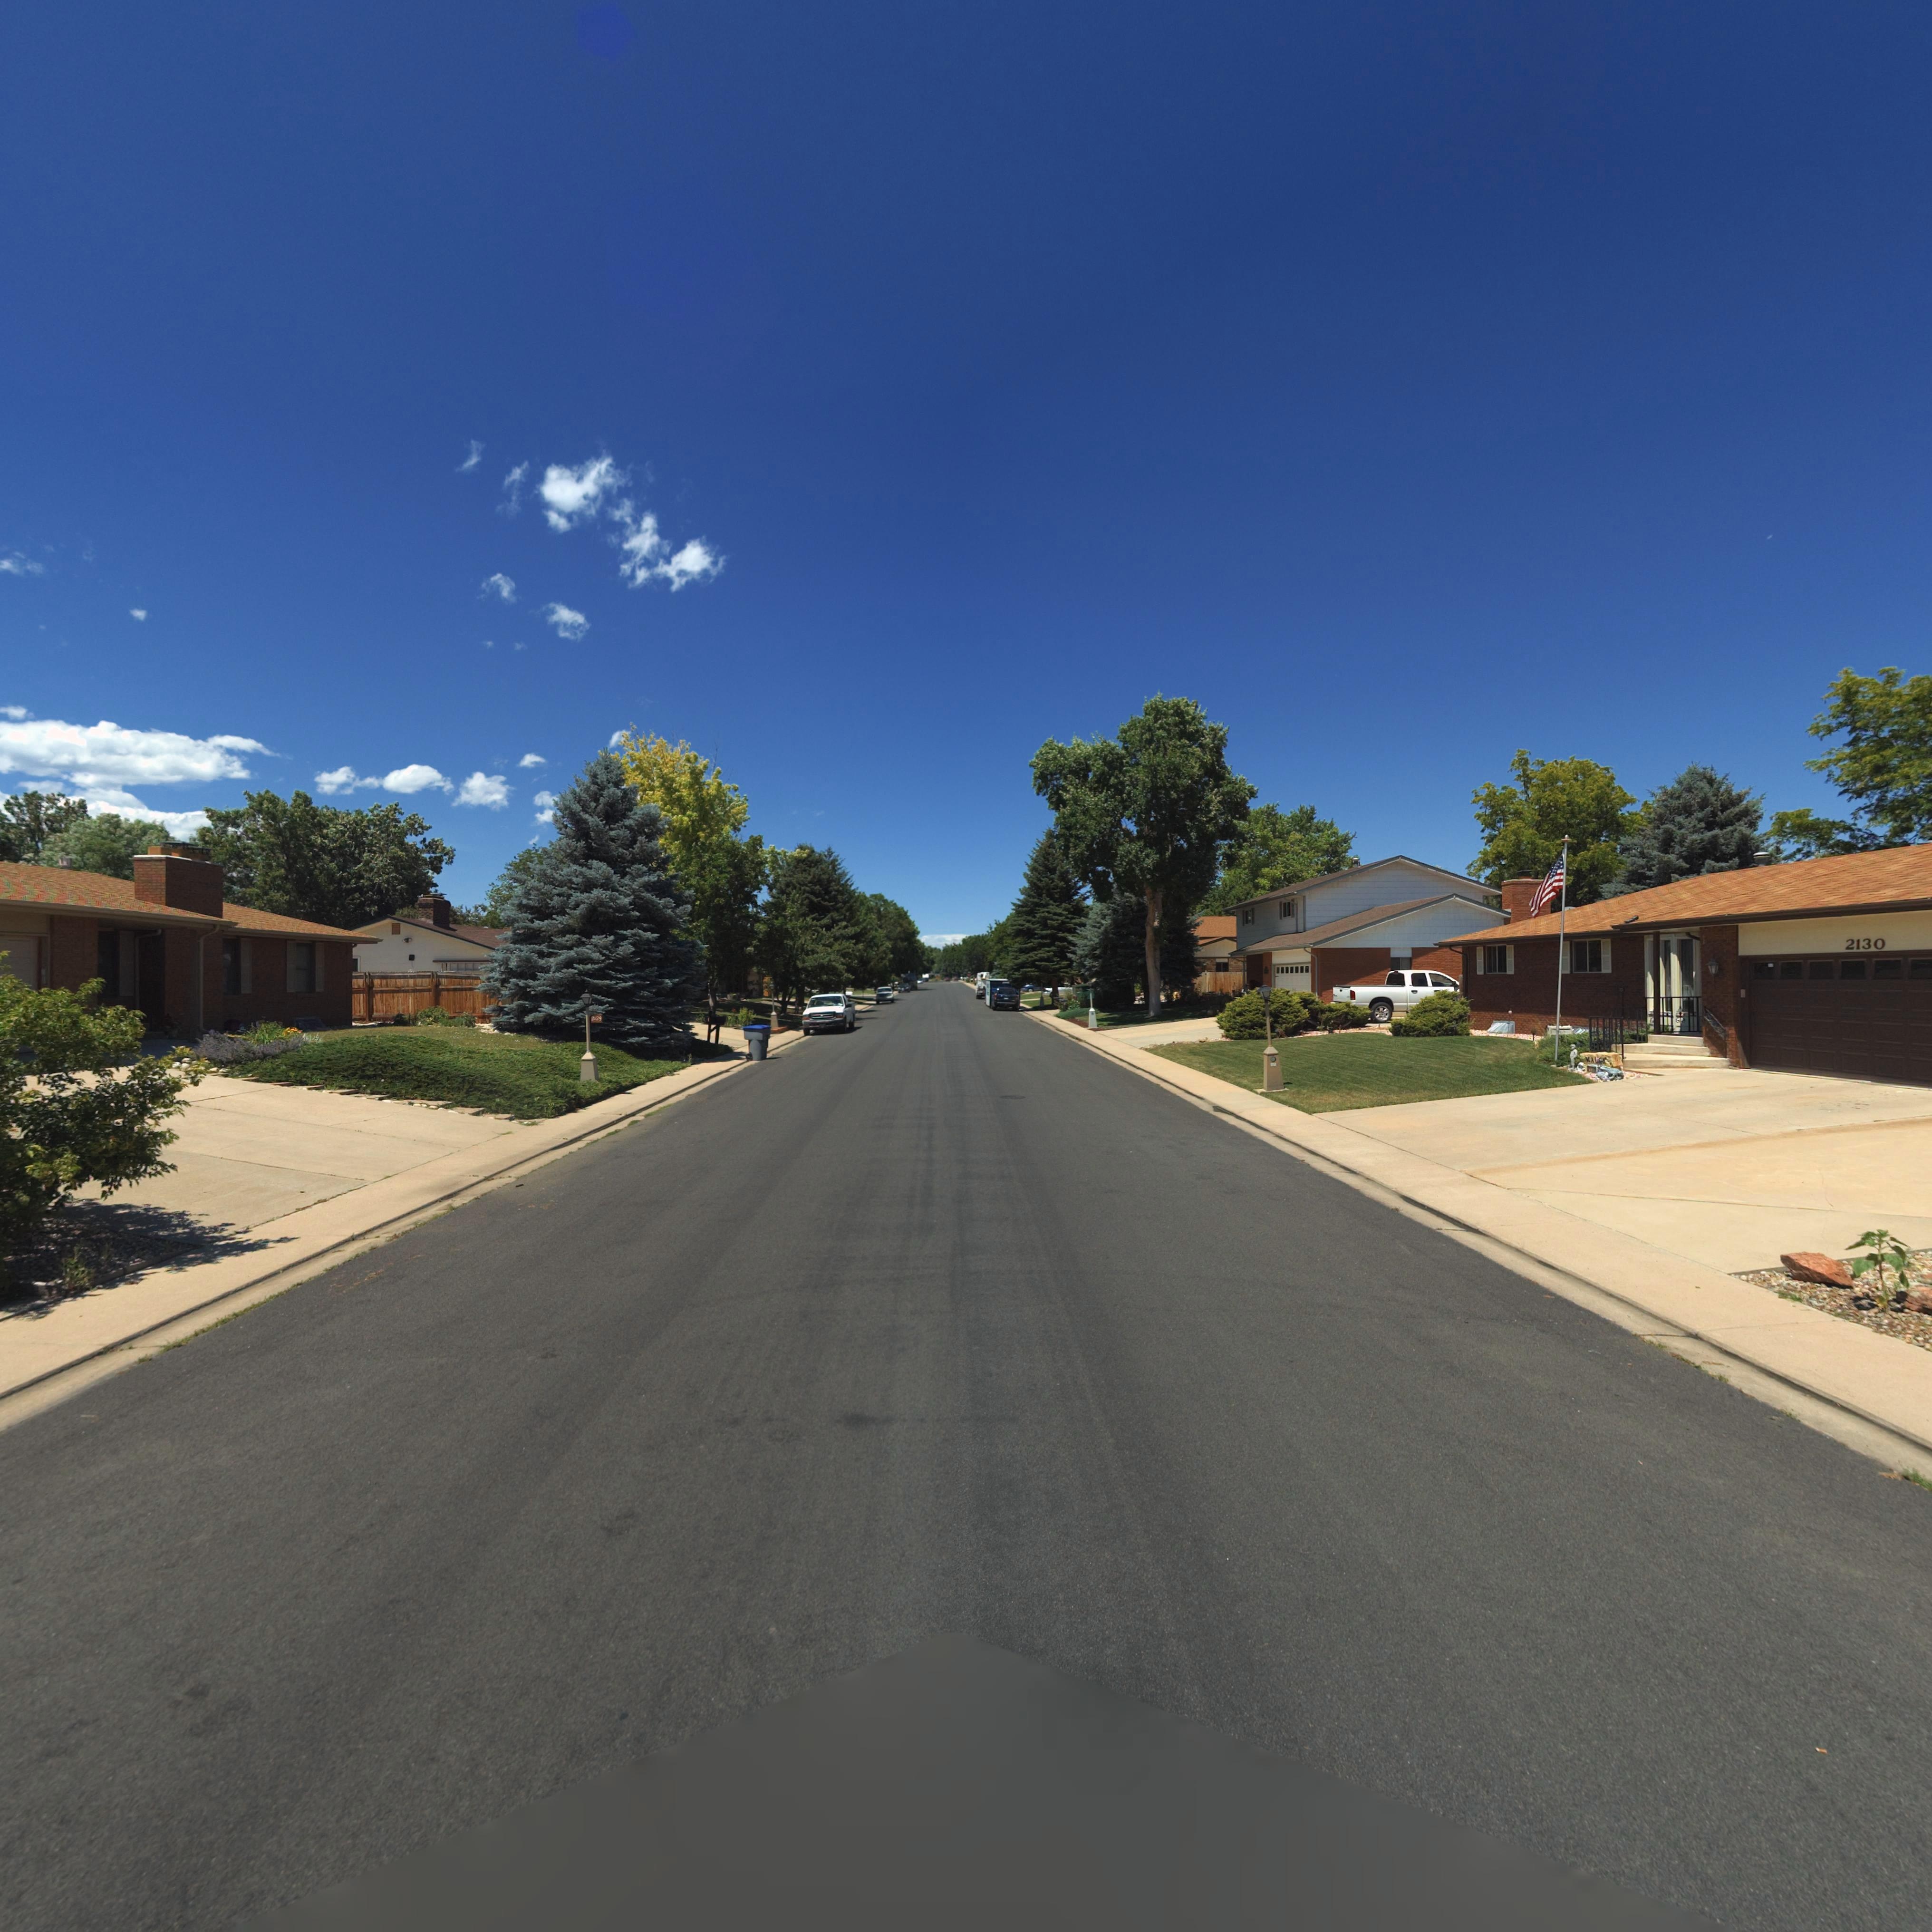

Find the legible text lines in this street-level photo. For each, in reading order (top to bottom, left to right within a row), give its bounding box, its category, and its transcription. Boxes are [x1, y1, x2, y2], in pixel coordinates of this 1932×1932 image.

[1845, 937, 1885, 950] StreetNumber: 2130
[590, 1015, 602, 1021] StreetNumber: 2*29